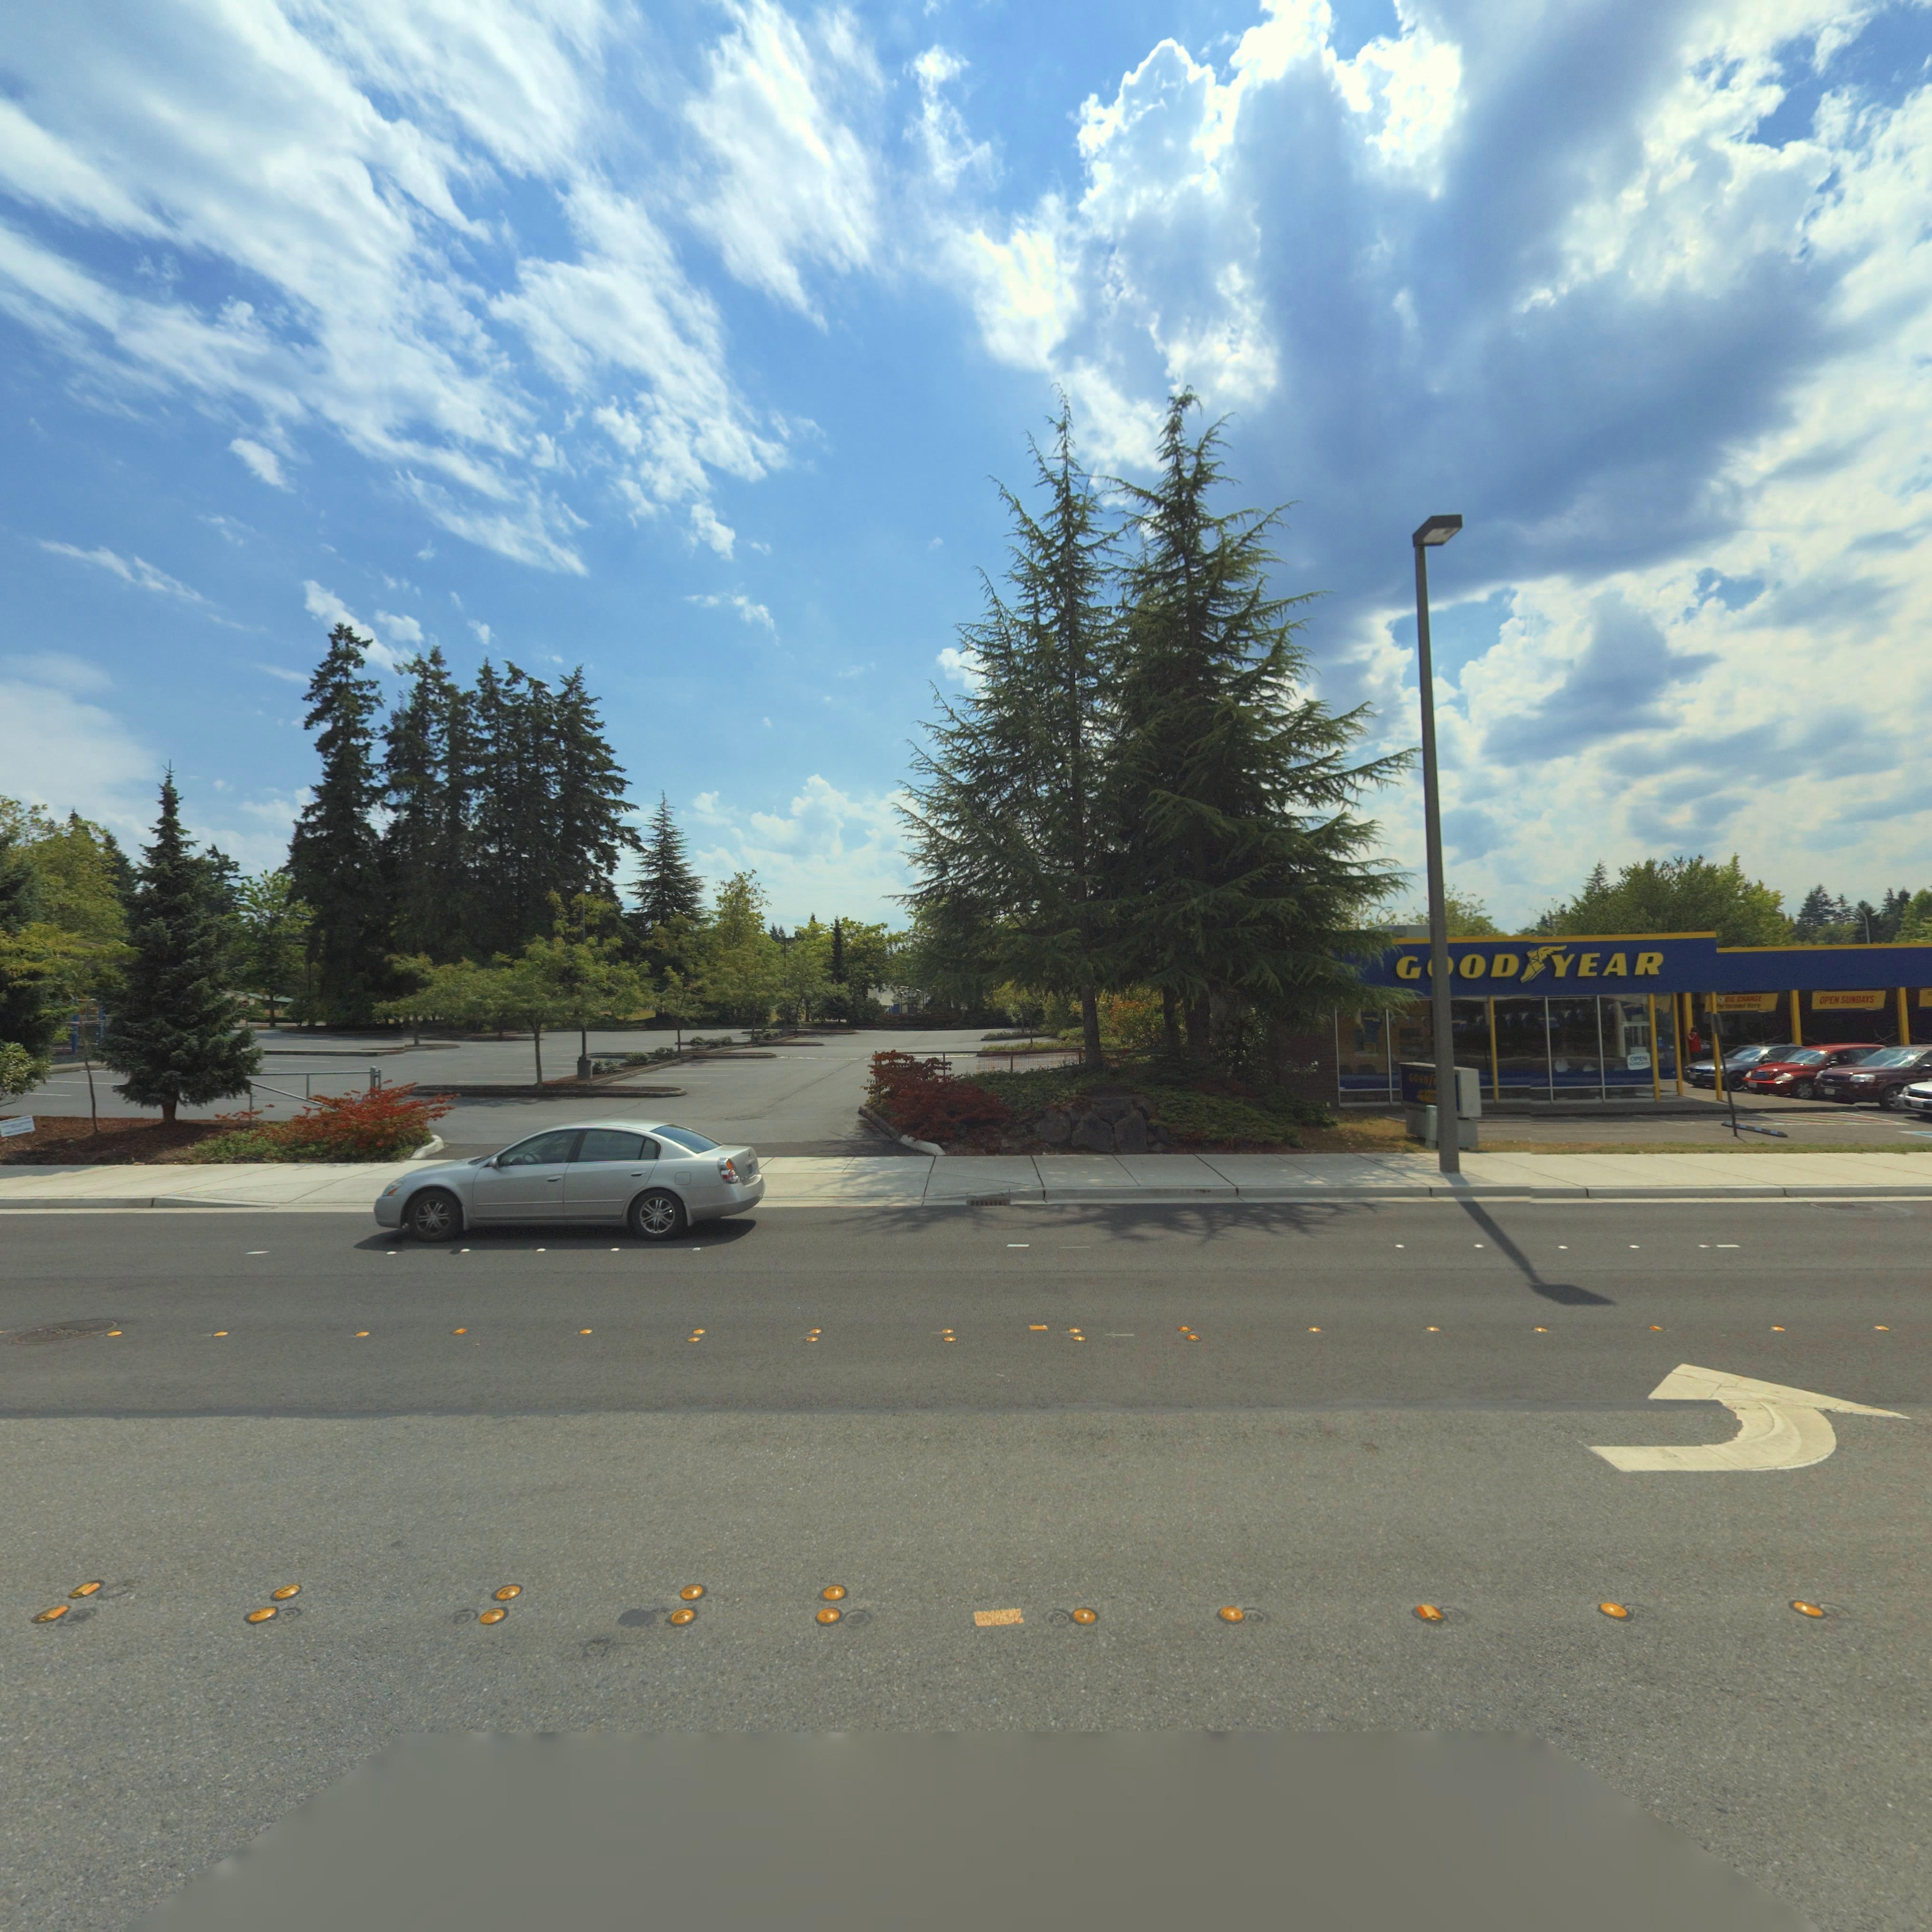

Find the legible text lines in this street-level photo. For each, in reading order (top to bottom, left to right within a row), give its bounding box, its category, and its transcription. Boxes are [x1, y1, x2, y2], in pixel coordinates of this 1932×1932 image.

[1395, 951, 1663, 980] BusinessName: G*OD*YEAR